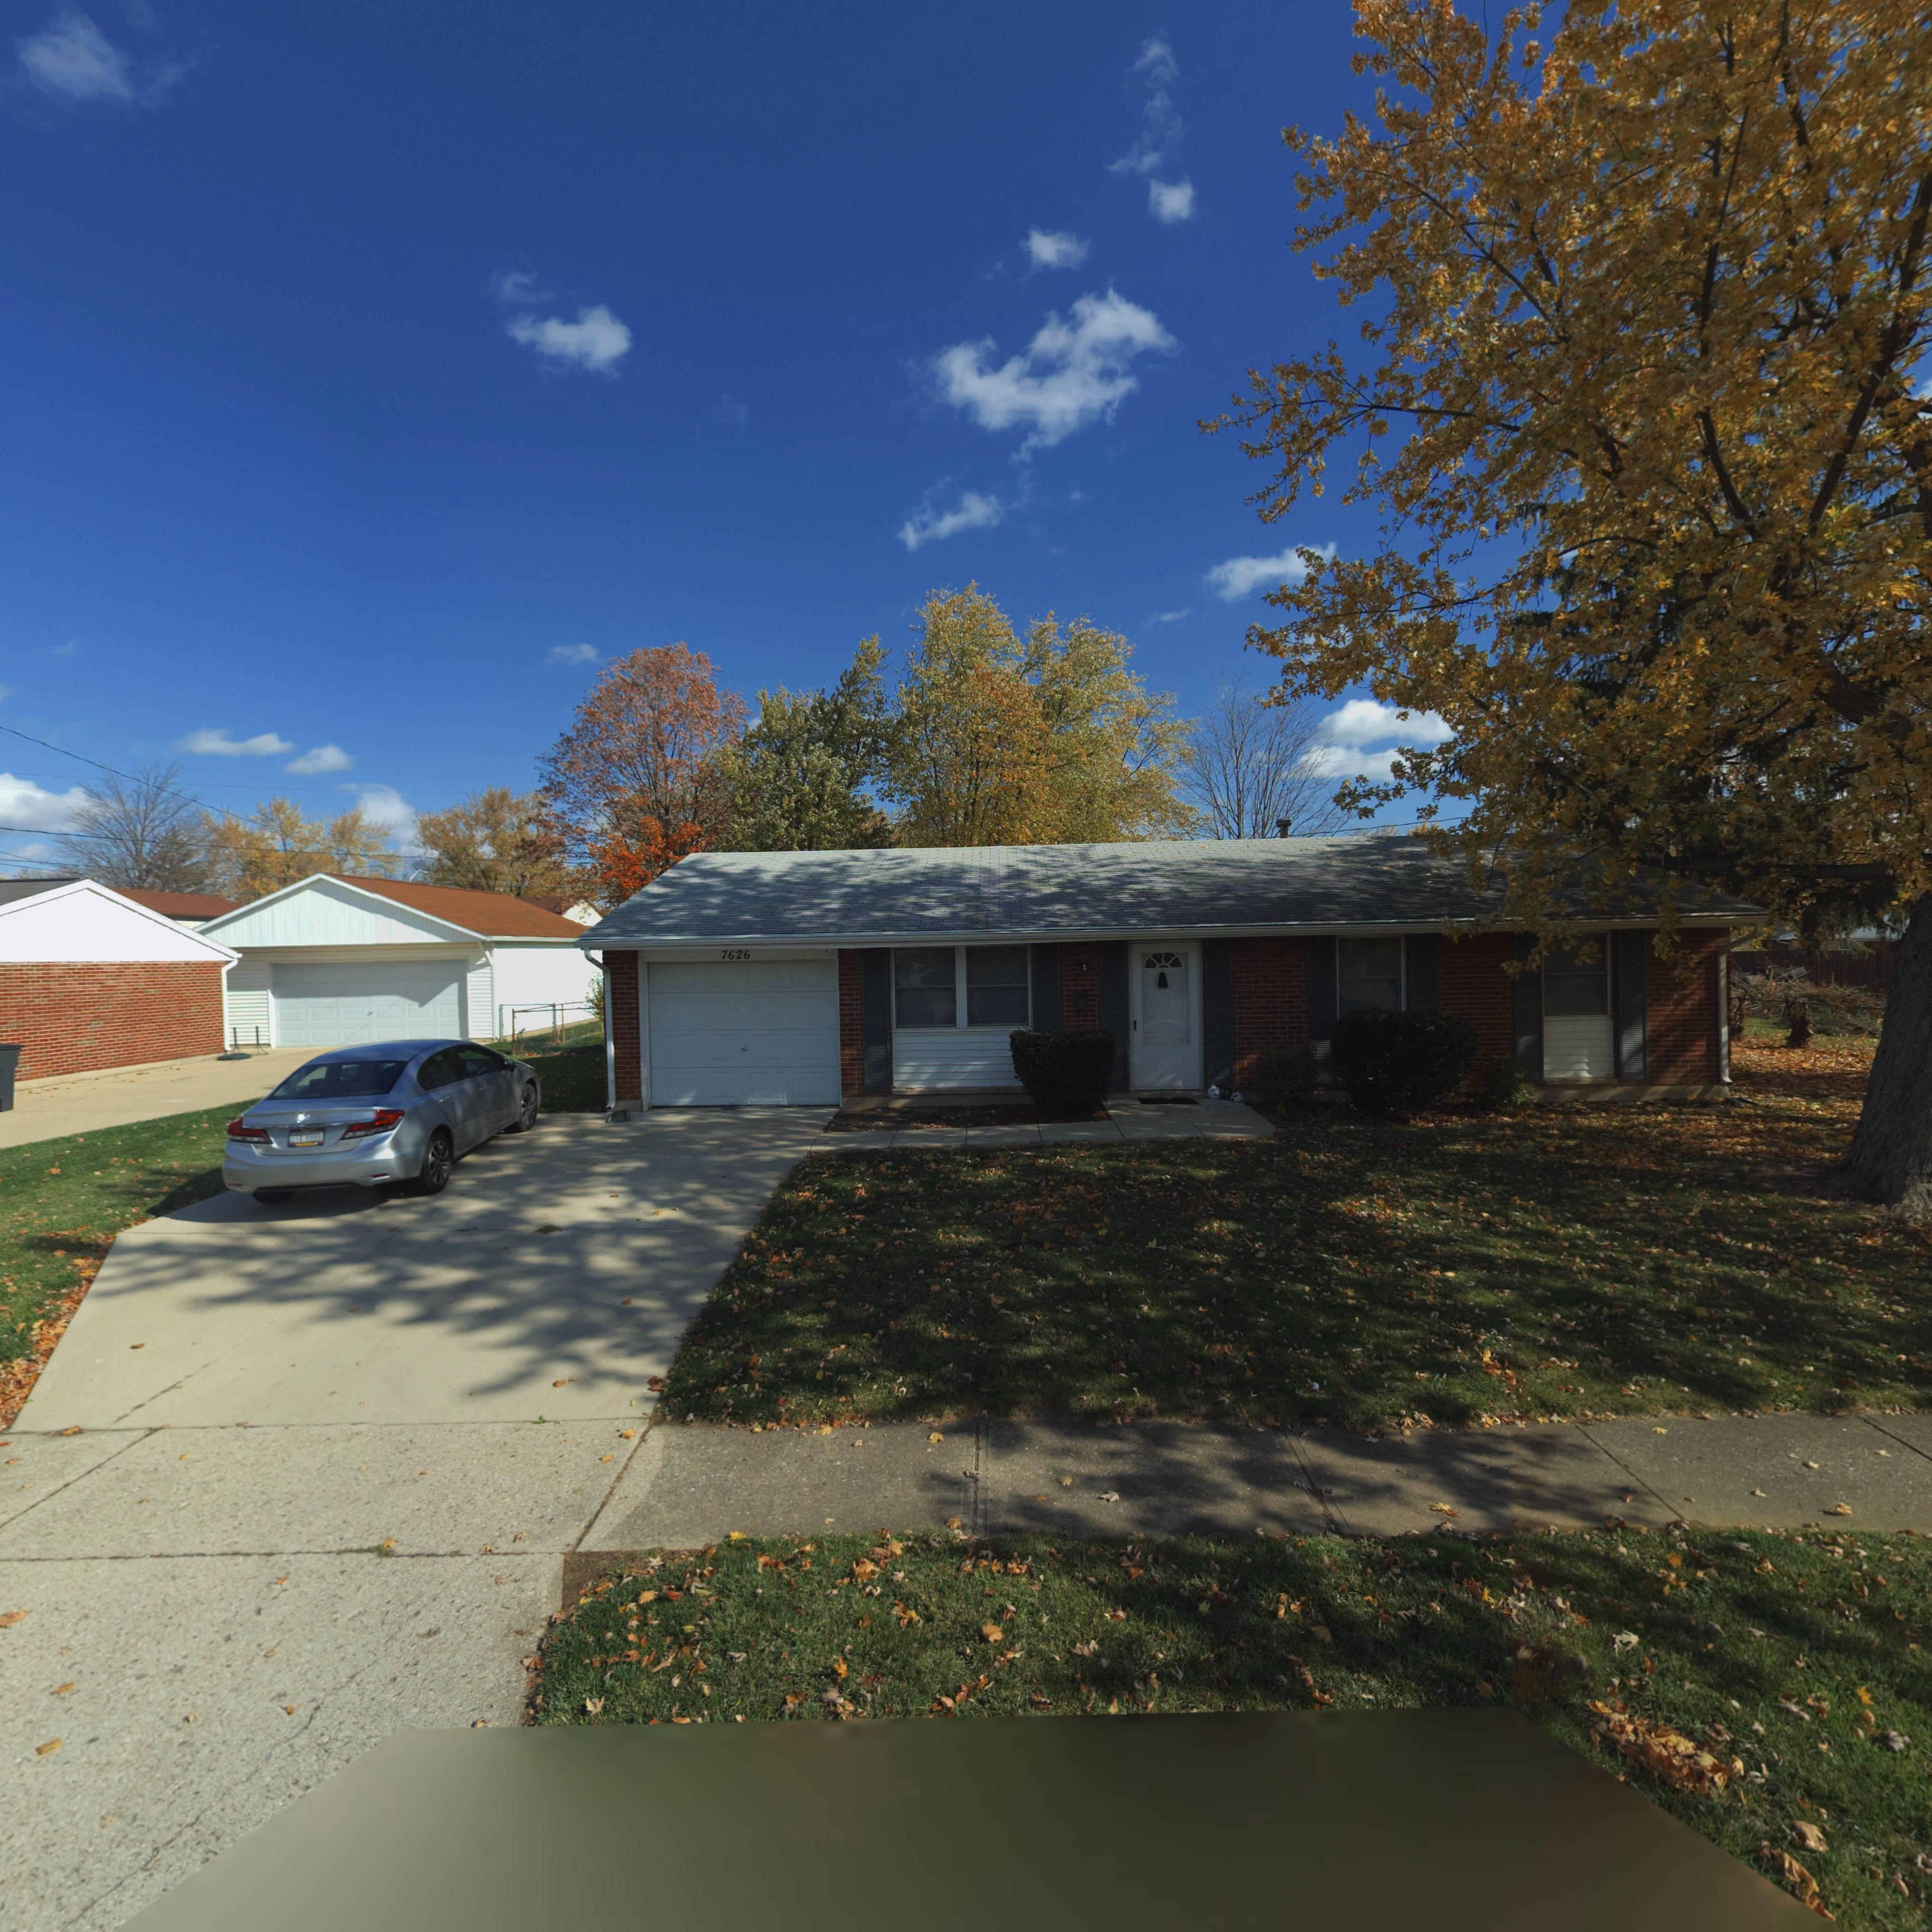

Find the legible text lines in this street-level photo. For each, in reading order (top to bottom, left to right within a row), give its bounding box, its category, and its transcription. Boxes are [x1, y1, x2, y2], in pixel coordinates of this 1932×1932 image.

[721, 949, 751, 960] StreetNumber: 7626